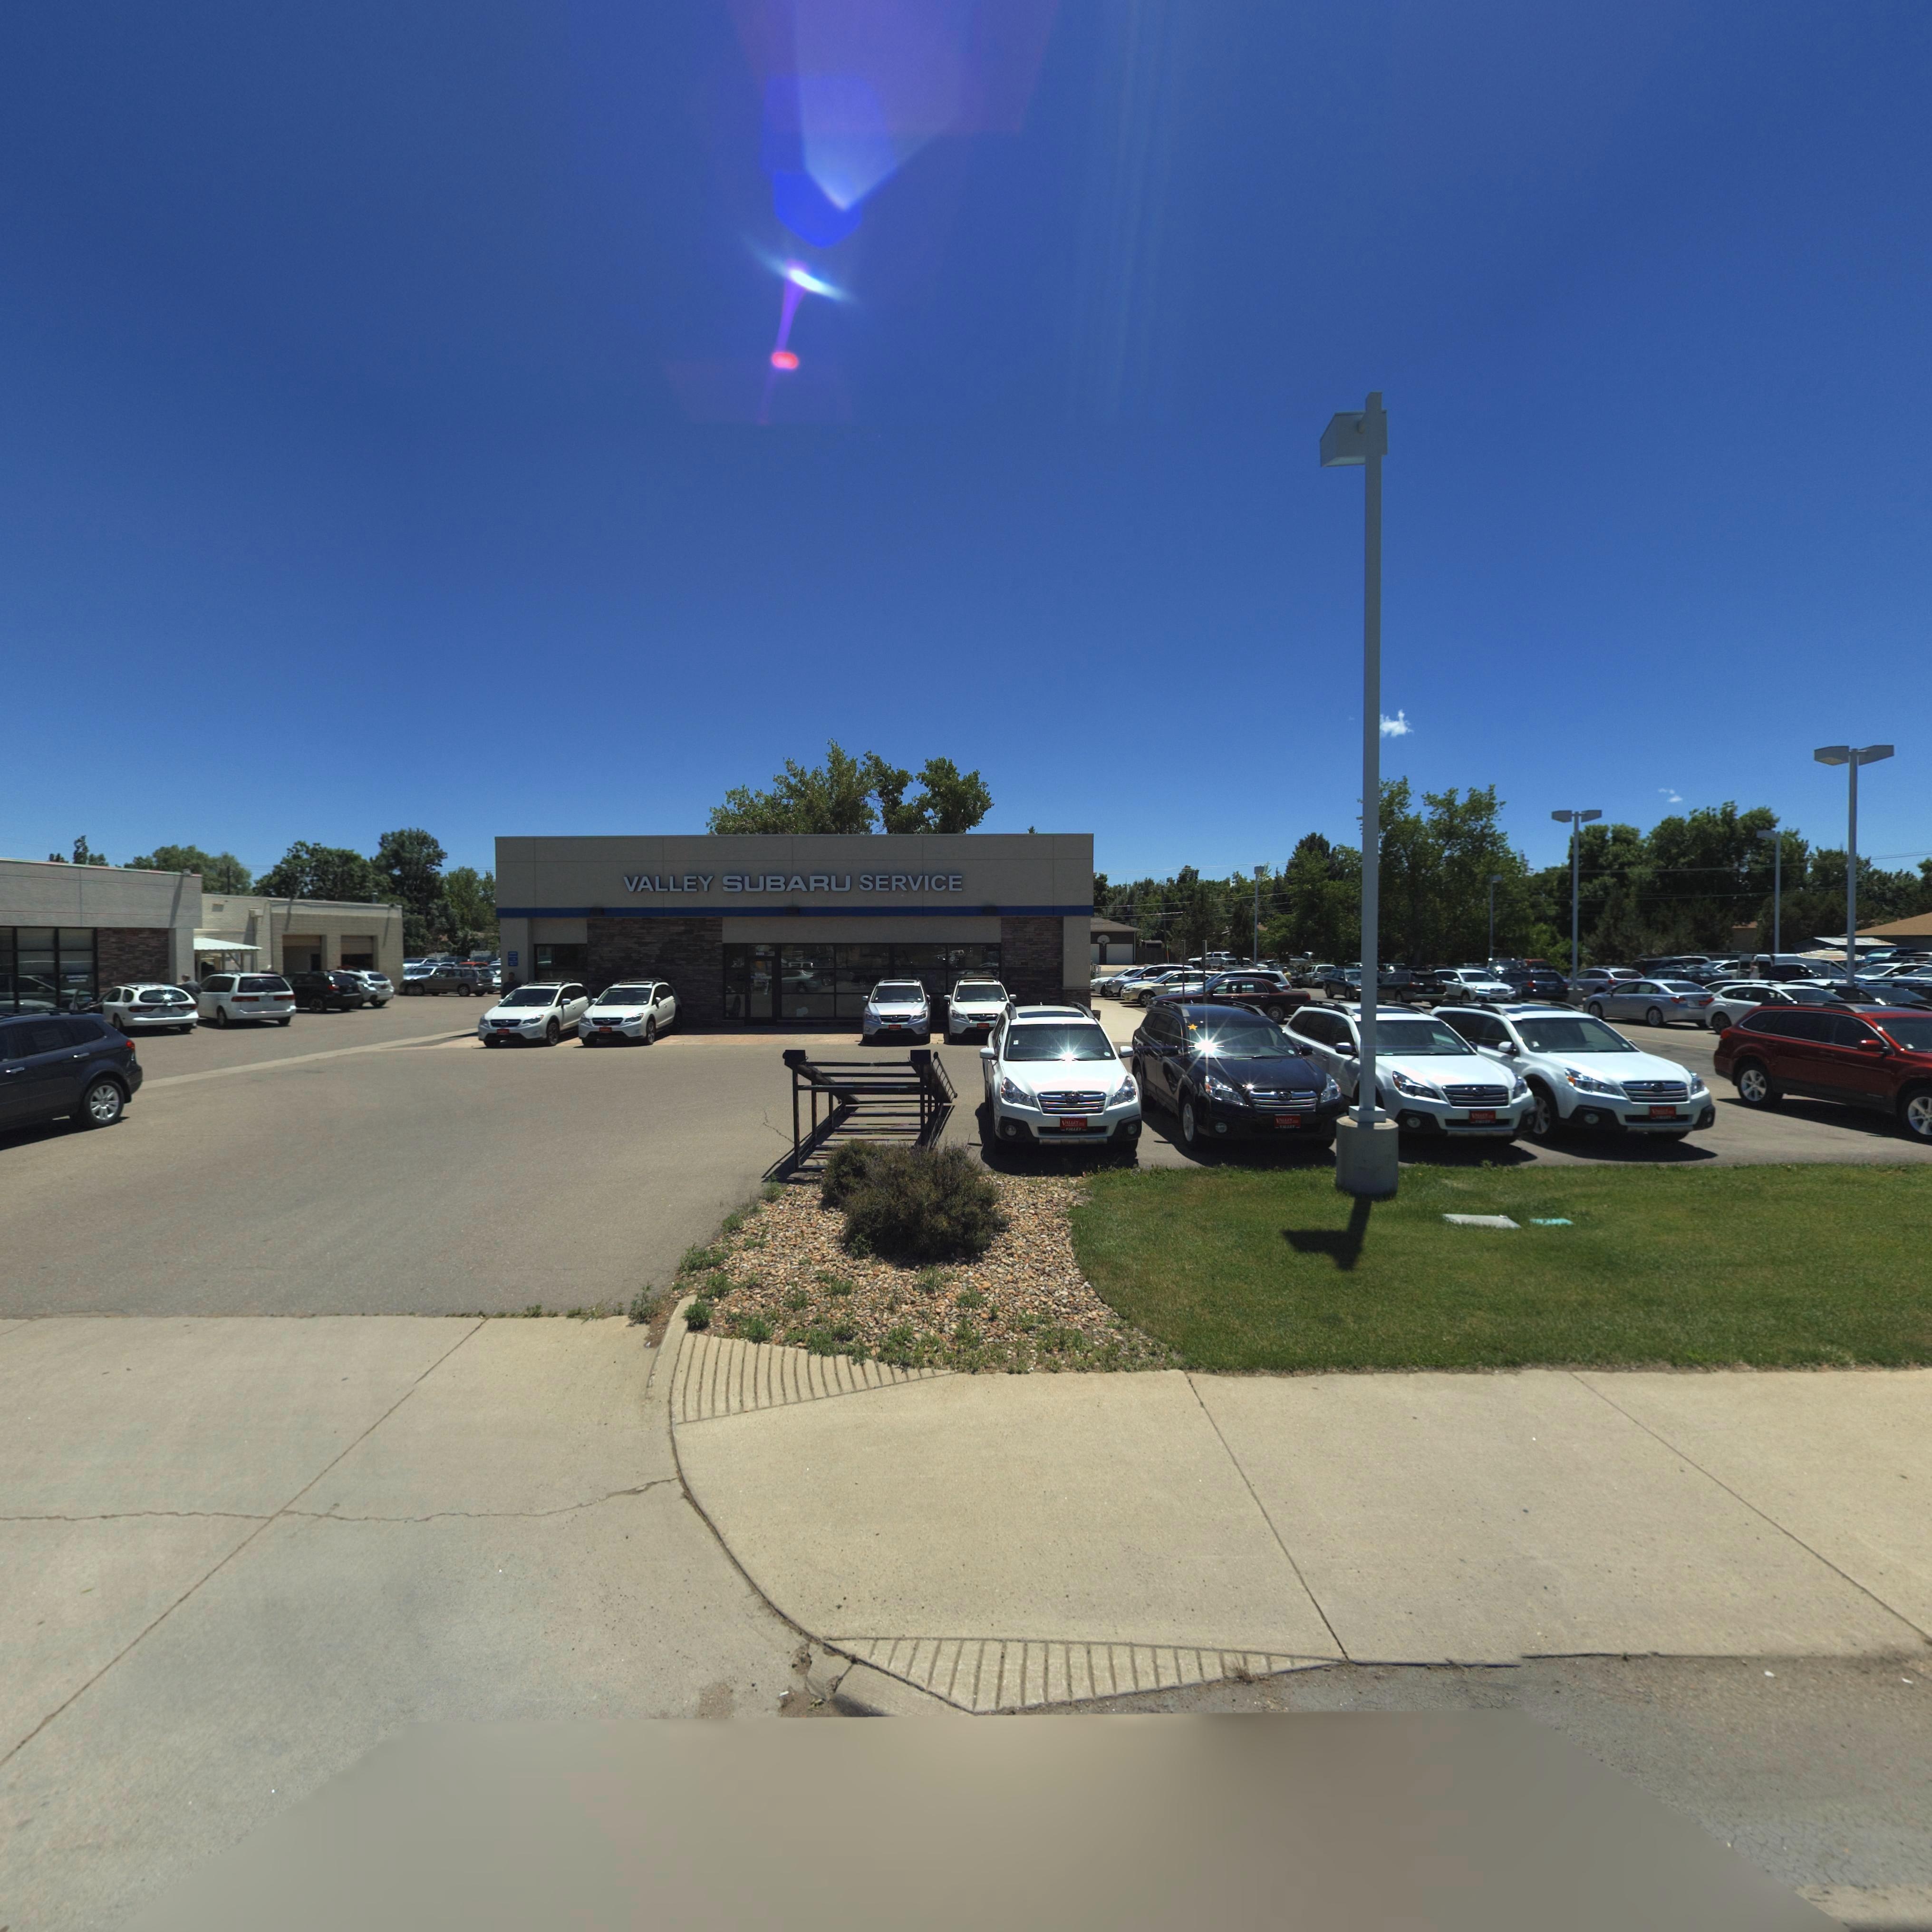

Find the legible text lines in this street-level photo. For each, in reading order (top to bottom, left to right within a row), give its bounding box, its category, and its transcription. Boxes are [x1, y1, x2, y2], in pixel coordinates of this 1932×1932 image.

[756, 952, 764, 956] StreetNumber: 1**2